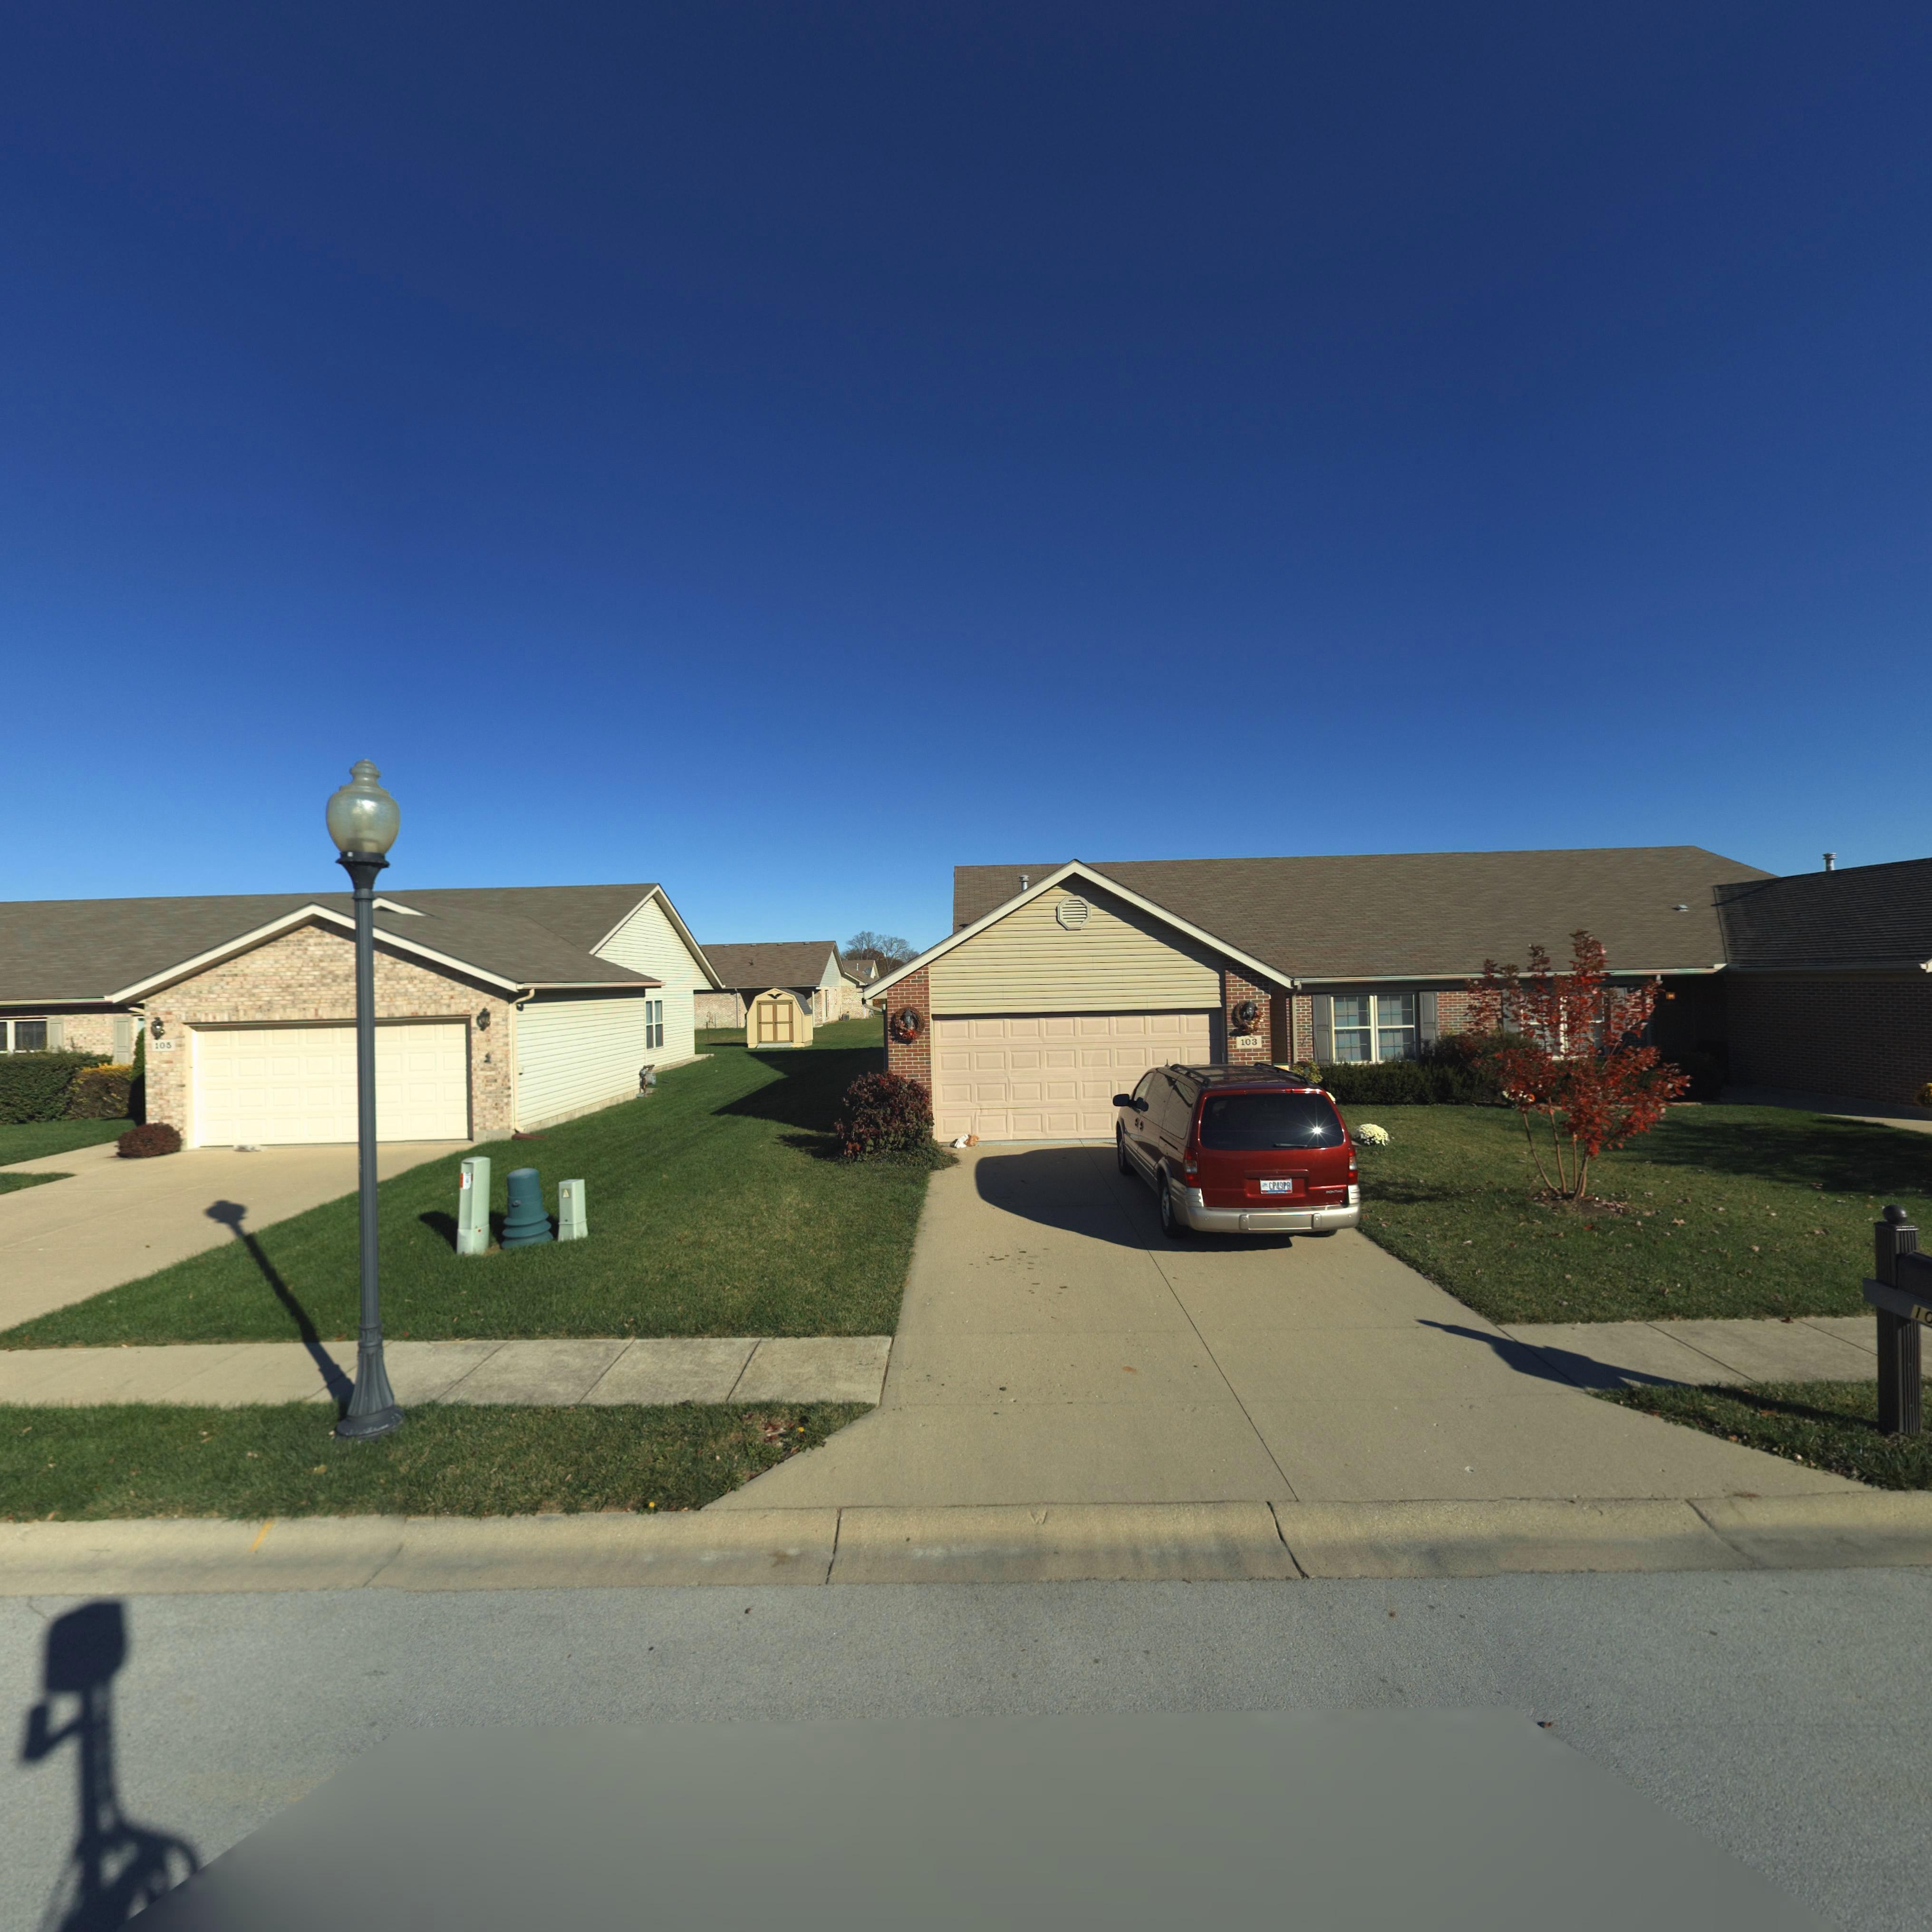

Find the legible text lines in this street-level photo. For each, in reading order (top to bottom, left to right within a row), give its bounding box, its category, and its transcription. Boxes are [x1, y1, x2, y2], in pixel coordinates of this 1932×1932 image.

[154, 1041, 173, 1050] StreetNumber: 105
[1240, 1038, 1258, 1046] StreetNumber: 103
[1912, 1304, 1924, 1322] StreetNumber: 1